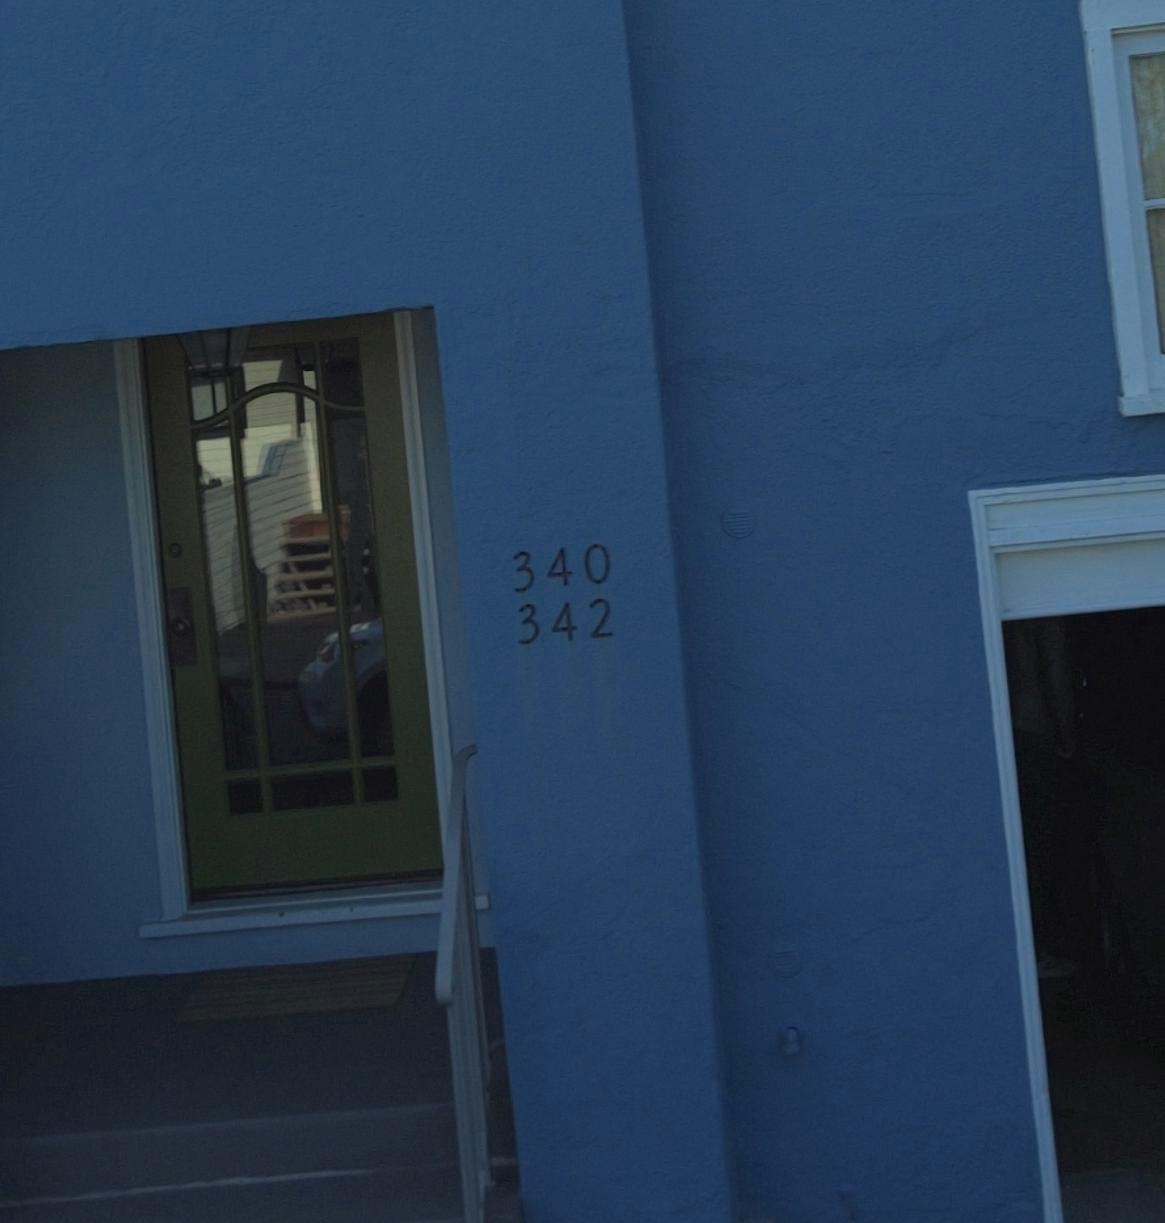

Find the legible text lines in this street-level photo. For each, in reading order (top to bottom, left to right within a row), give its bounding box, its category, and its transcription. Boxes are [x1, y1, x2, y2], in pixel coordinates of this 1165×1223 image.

[512, 541, 611, 596] StreetNumber: 340
[515, 594, 615, 648] StreetNumber: 342